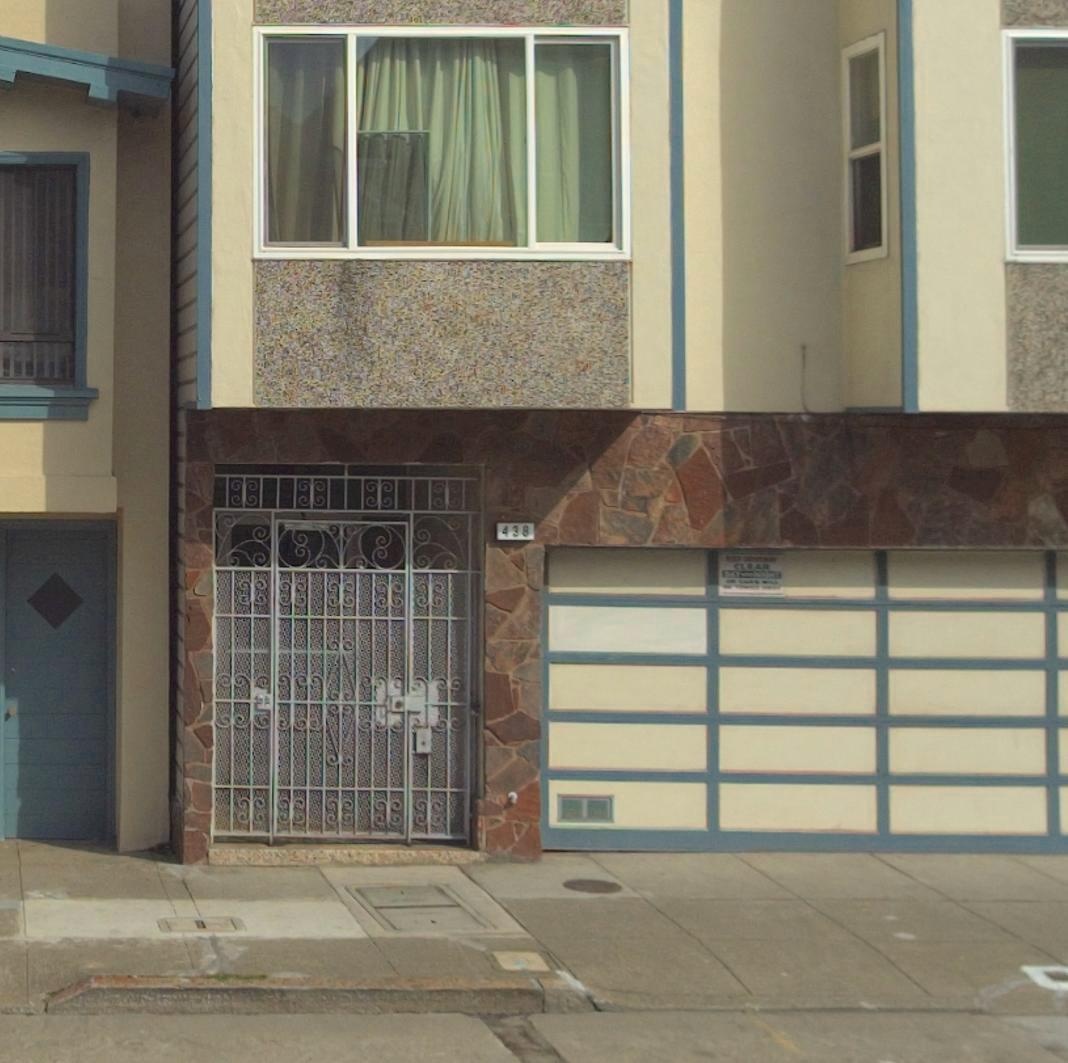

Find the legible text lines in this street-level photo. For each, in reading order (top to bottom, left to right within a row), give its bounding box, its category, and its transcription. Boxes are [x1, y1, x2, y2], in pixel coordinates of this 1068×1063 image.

[501, 524, 531, 538] StreetNumber: 438
[731, 562, 772, 572] None: CLEAR